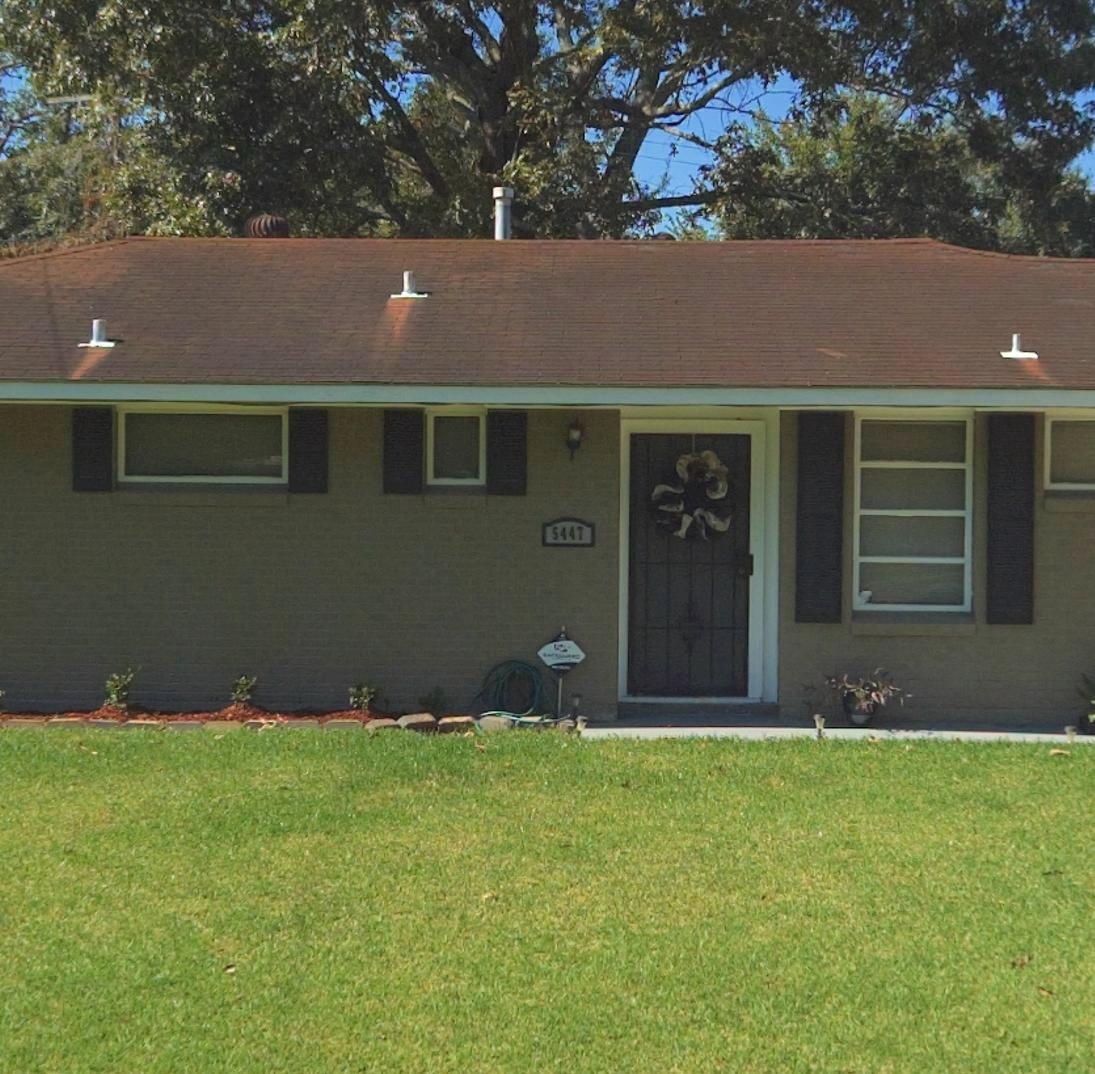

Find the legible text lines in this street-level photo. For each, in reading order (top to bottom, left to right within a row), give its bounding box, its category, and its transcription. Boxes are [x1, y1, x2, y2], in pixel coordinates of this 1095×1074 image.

[551, 525, 585, 541] StreetNumber: 5447